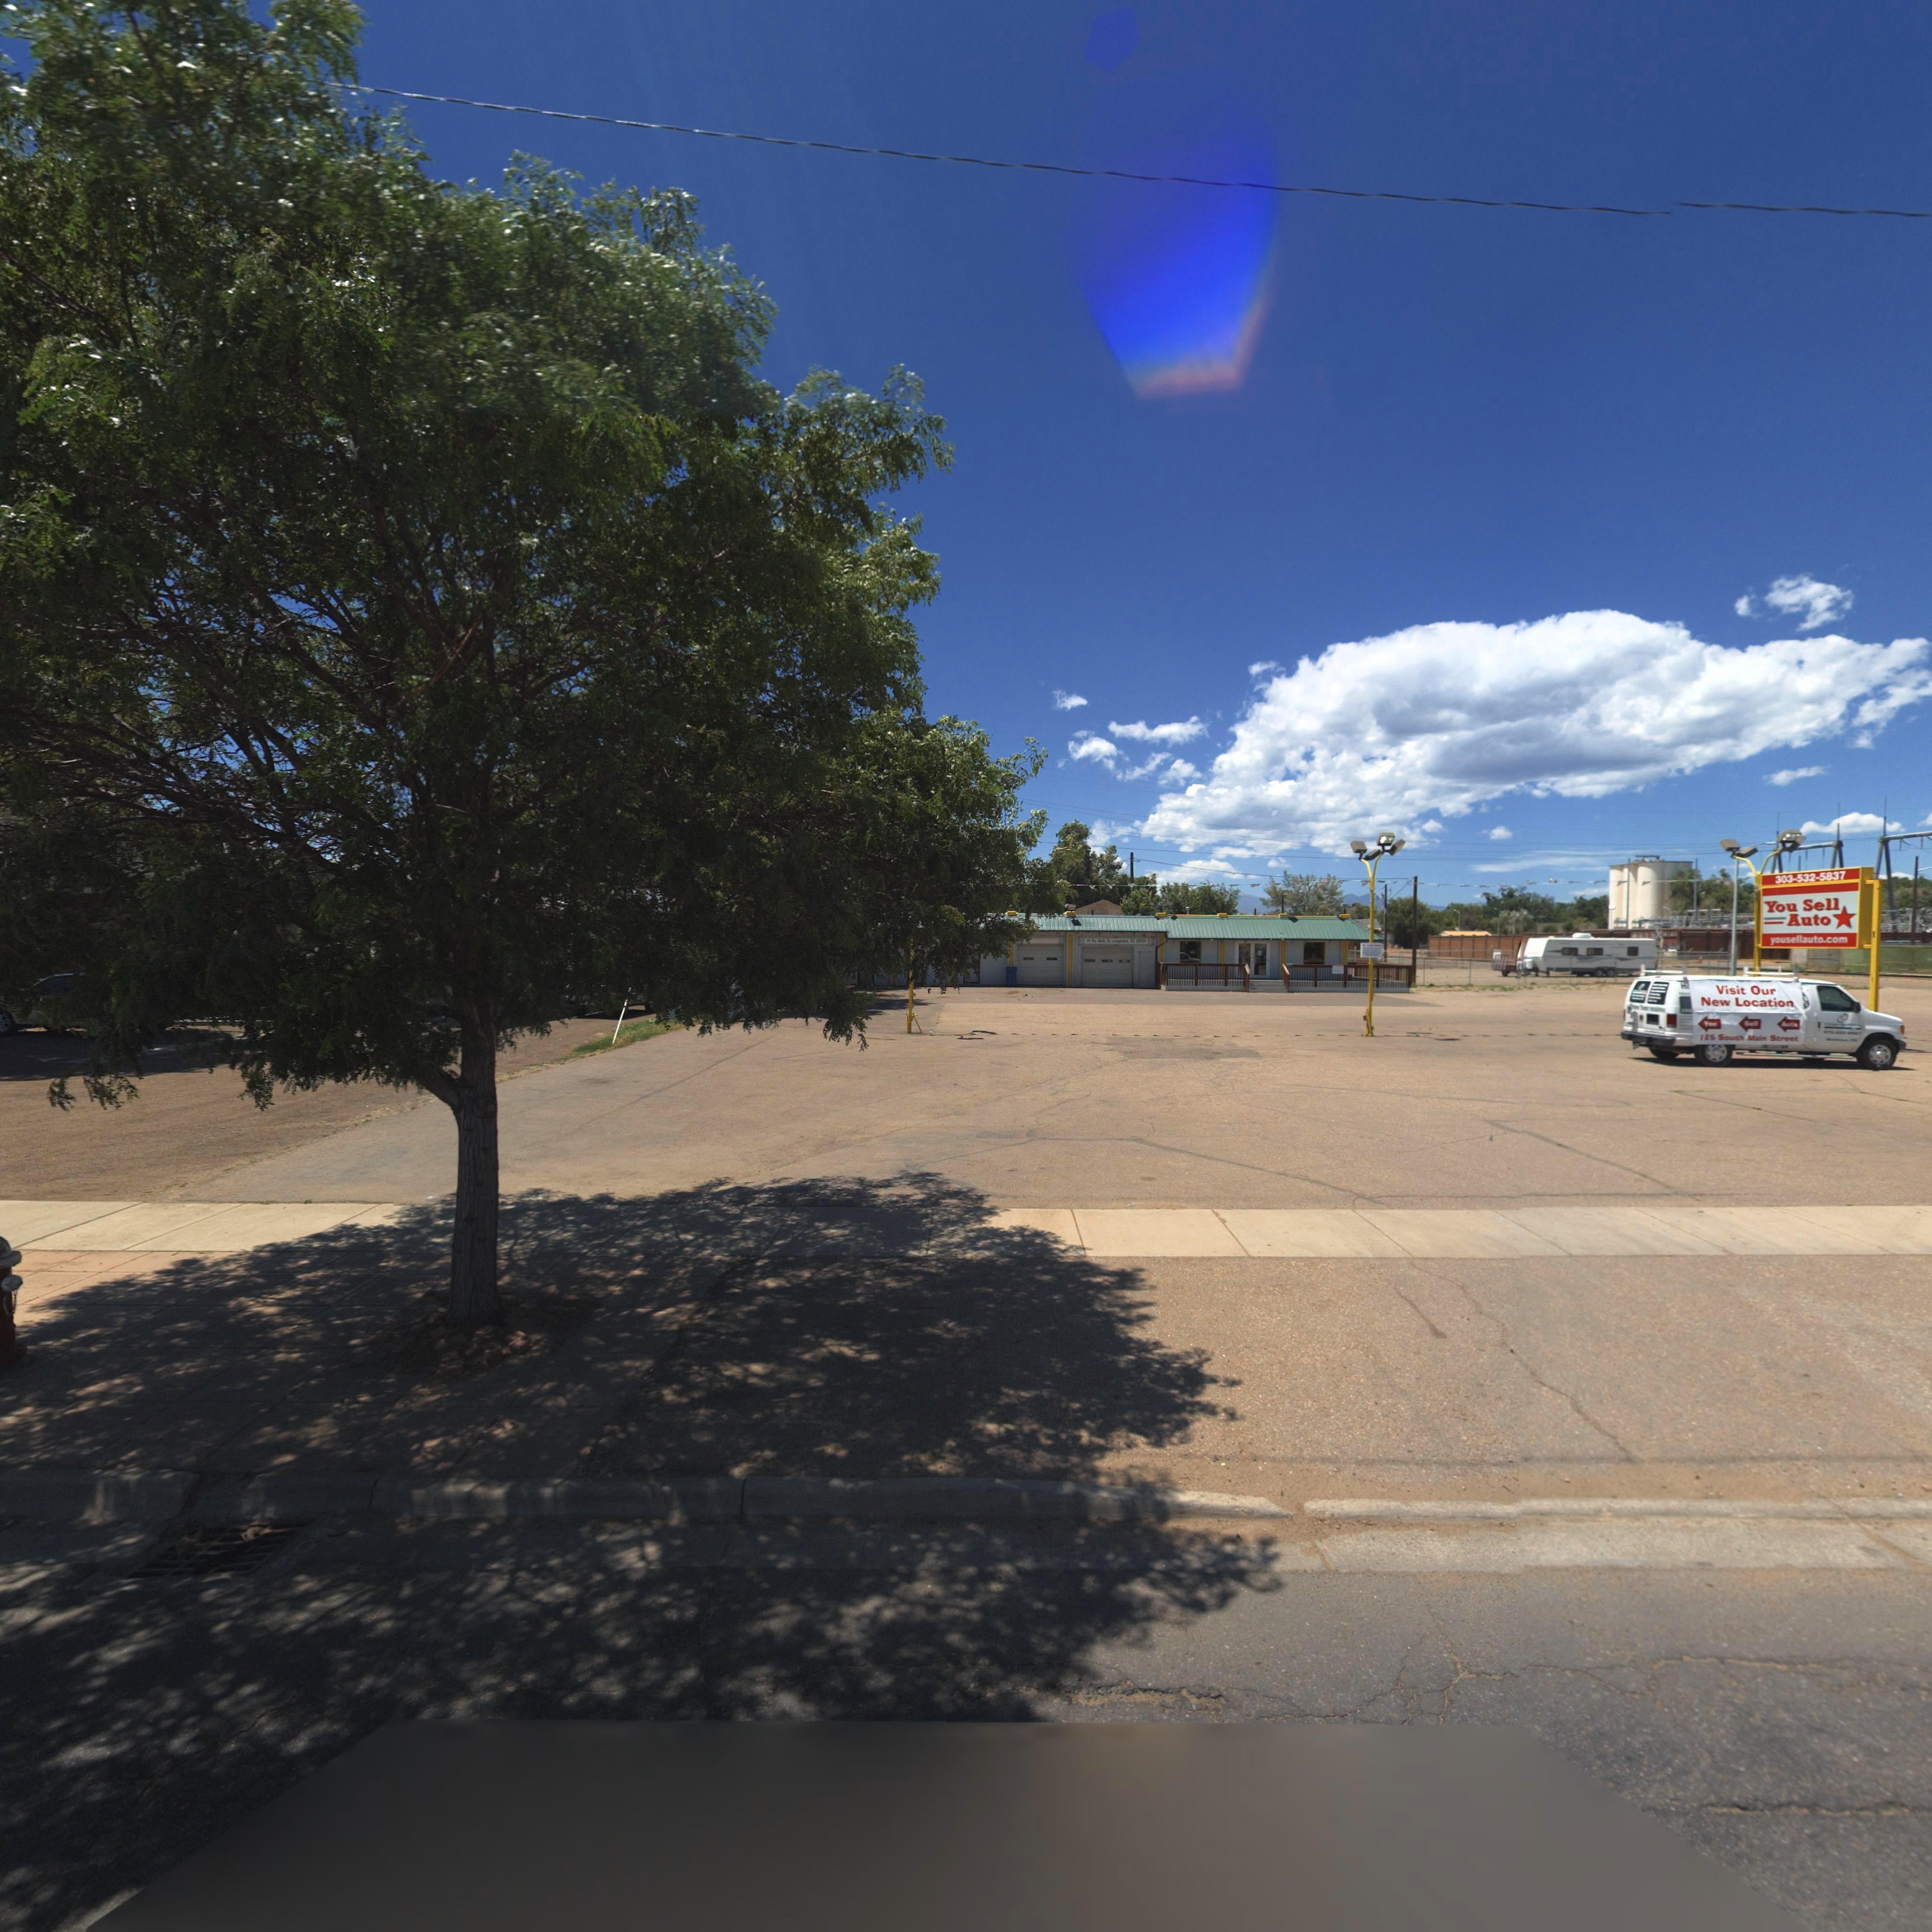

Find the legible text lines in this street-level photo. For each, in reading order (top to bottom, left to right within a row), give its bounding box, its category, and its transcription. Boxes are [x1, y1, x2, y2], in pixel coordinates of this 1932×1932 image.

[1763, 897, 1839, 913] BusinessName: You Sell
[1786, 913, 1831, 927] BusinessName: Auto